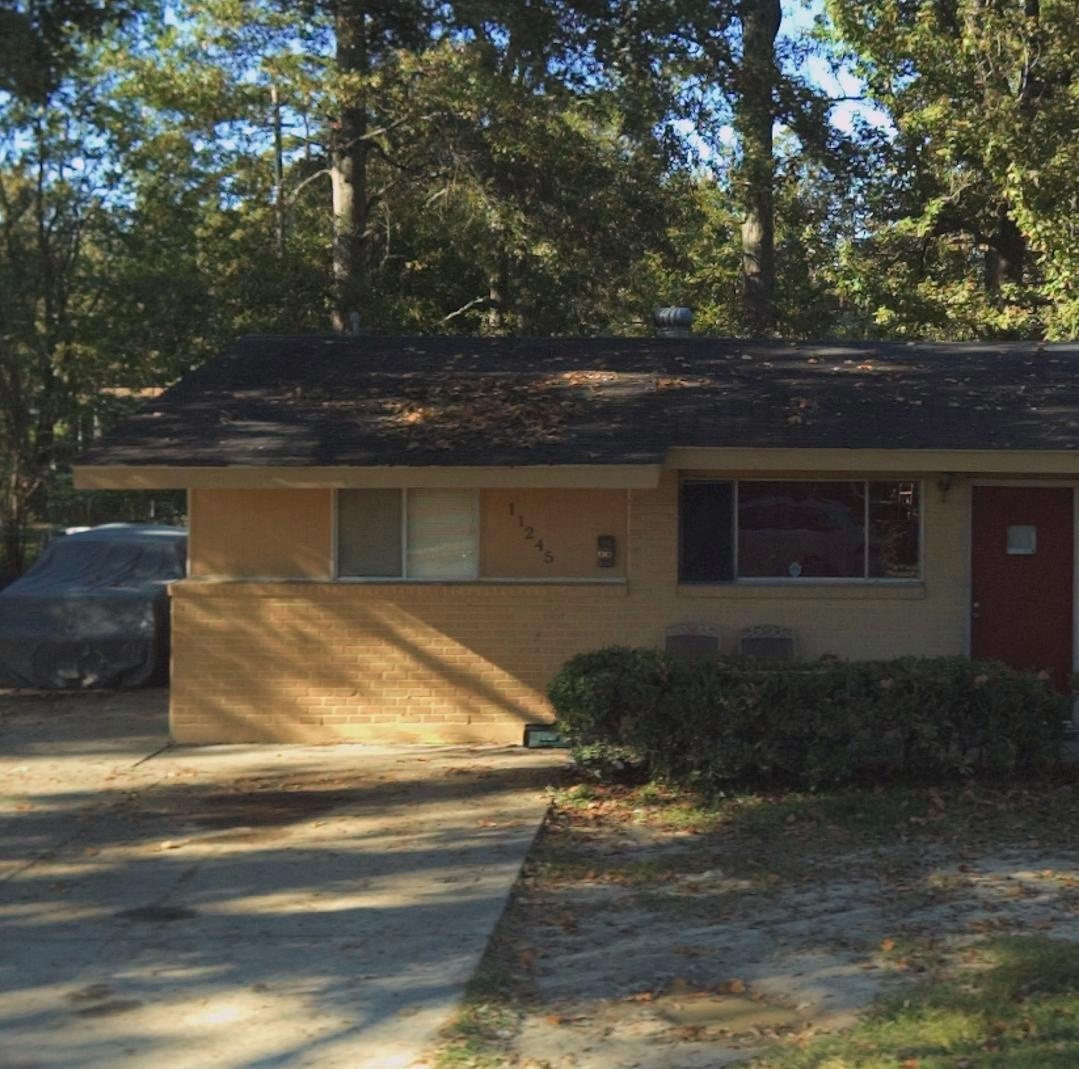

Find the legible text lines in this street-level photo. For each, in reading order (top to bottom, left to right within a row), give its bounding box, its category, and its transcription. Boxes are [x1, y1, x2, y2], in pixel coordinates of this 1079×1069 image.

[507, 501, 555, 564] StreetNumber: 11245